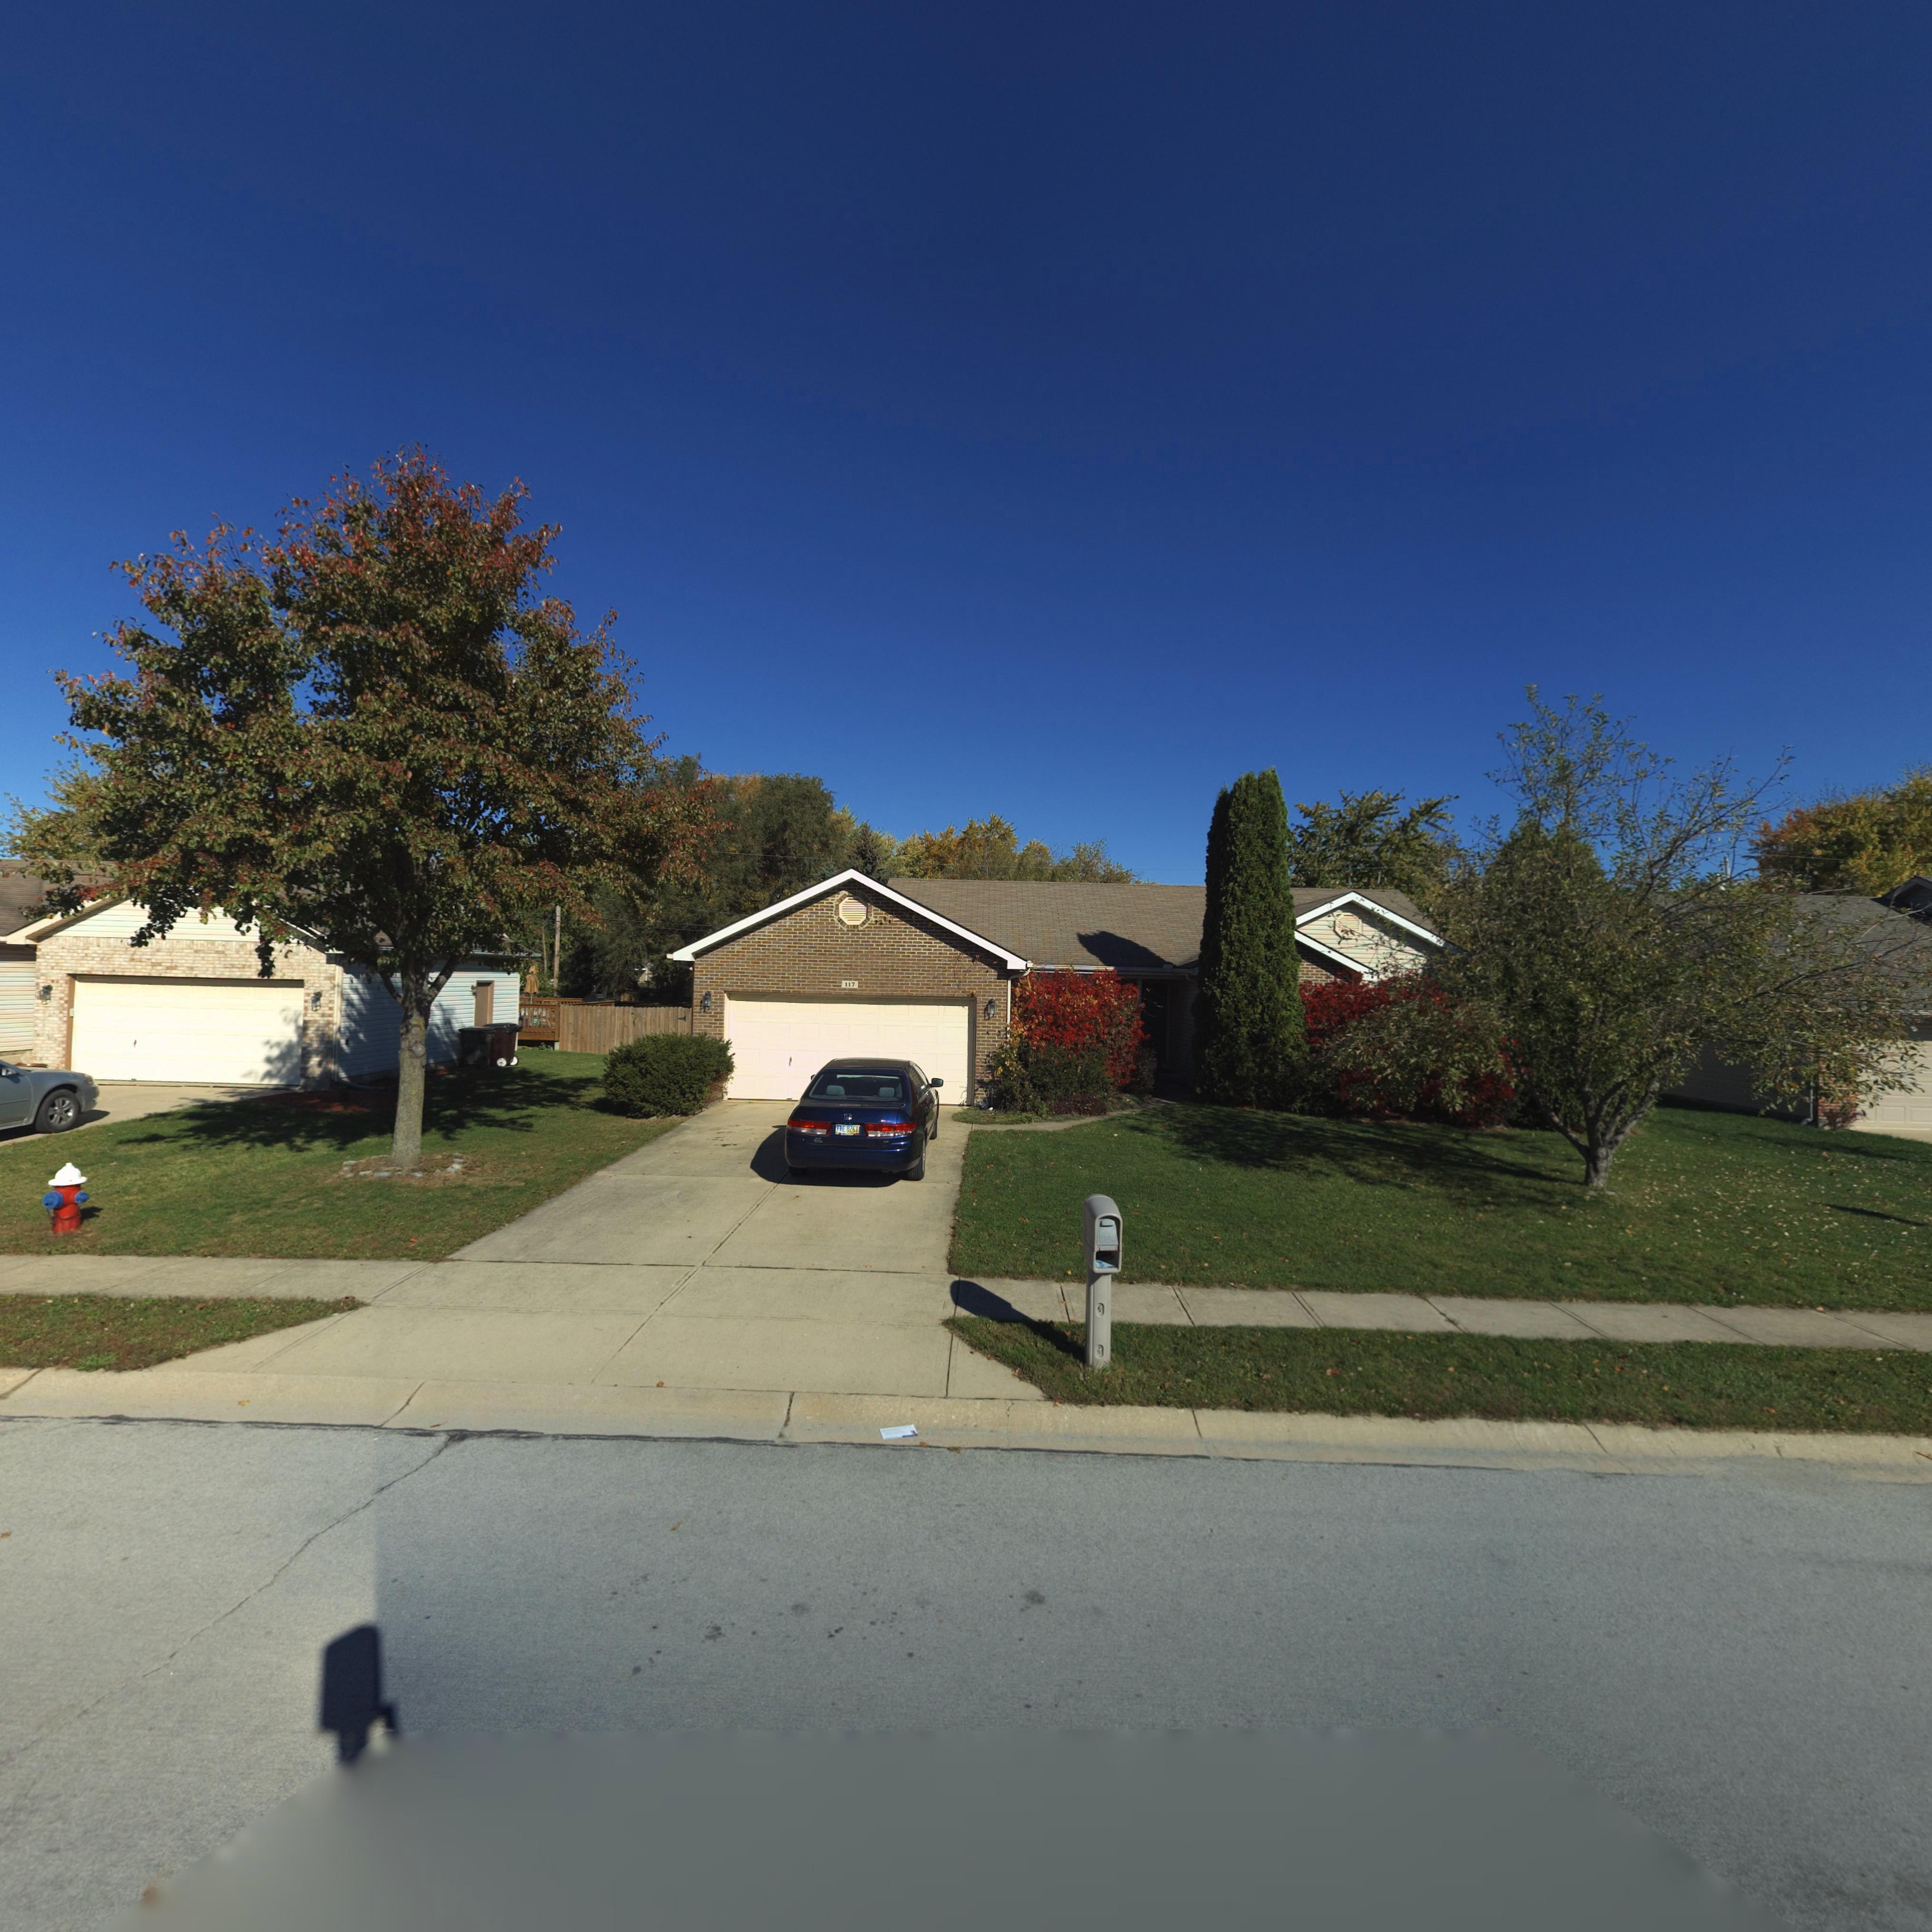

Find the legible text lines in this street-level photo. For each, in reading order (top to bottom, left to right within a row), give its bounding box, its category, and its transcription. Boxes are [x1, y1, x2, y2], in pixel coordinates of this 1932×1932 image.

[844, 982, 855, 987] StreetNumber: 117
[835, 1124, 858, 1132] None: *** 8261